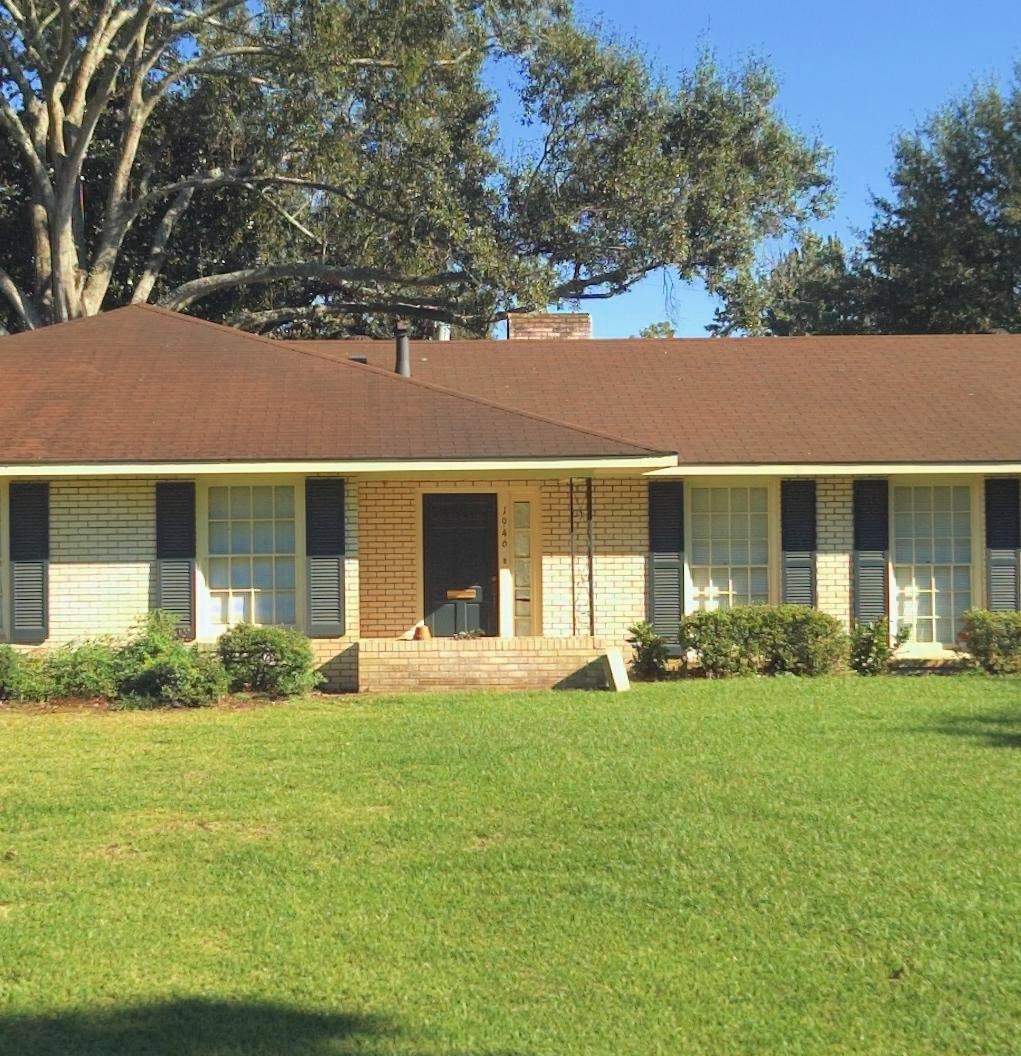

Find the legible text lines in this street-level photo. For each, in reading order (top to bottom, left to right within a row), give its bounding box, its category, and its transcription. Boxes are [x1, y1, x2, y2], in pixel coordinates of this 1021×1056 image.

[500, 503, 510, 550] StreetNumber: 1946